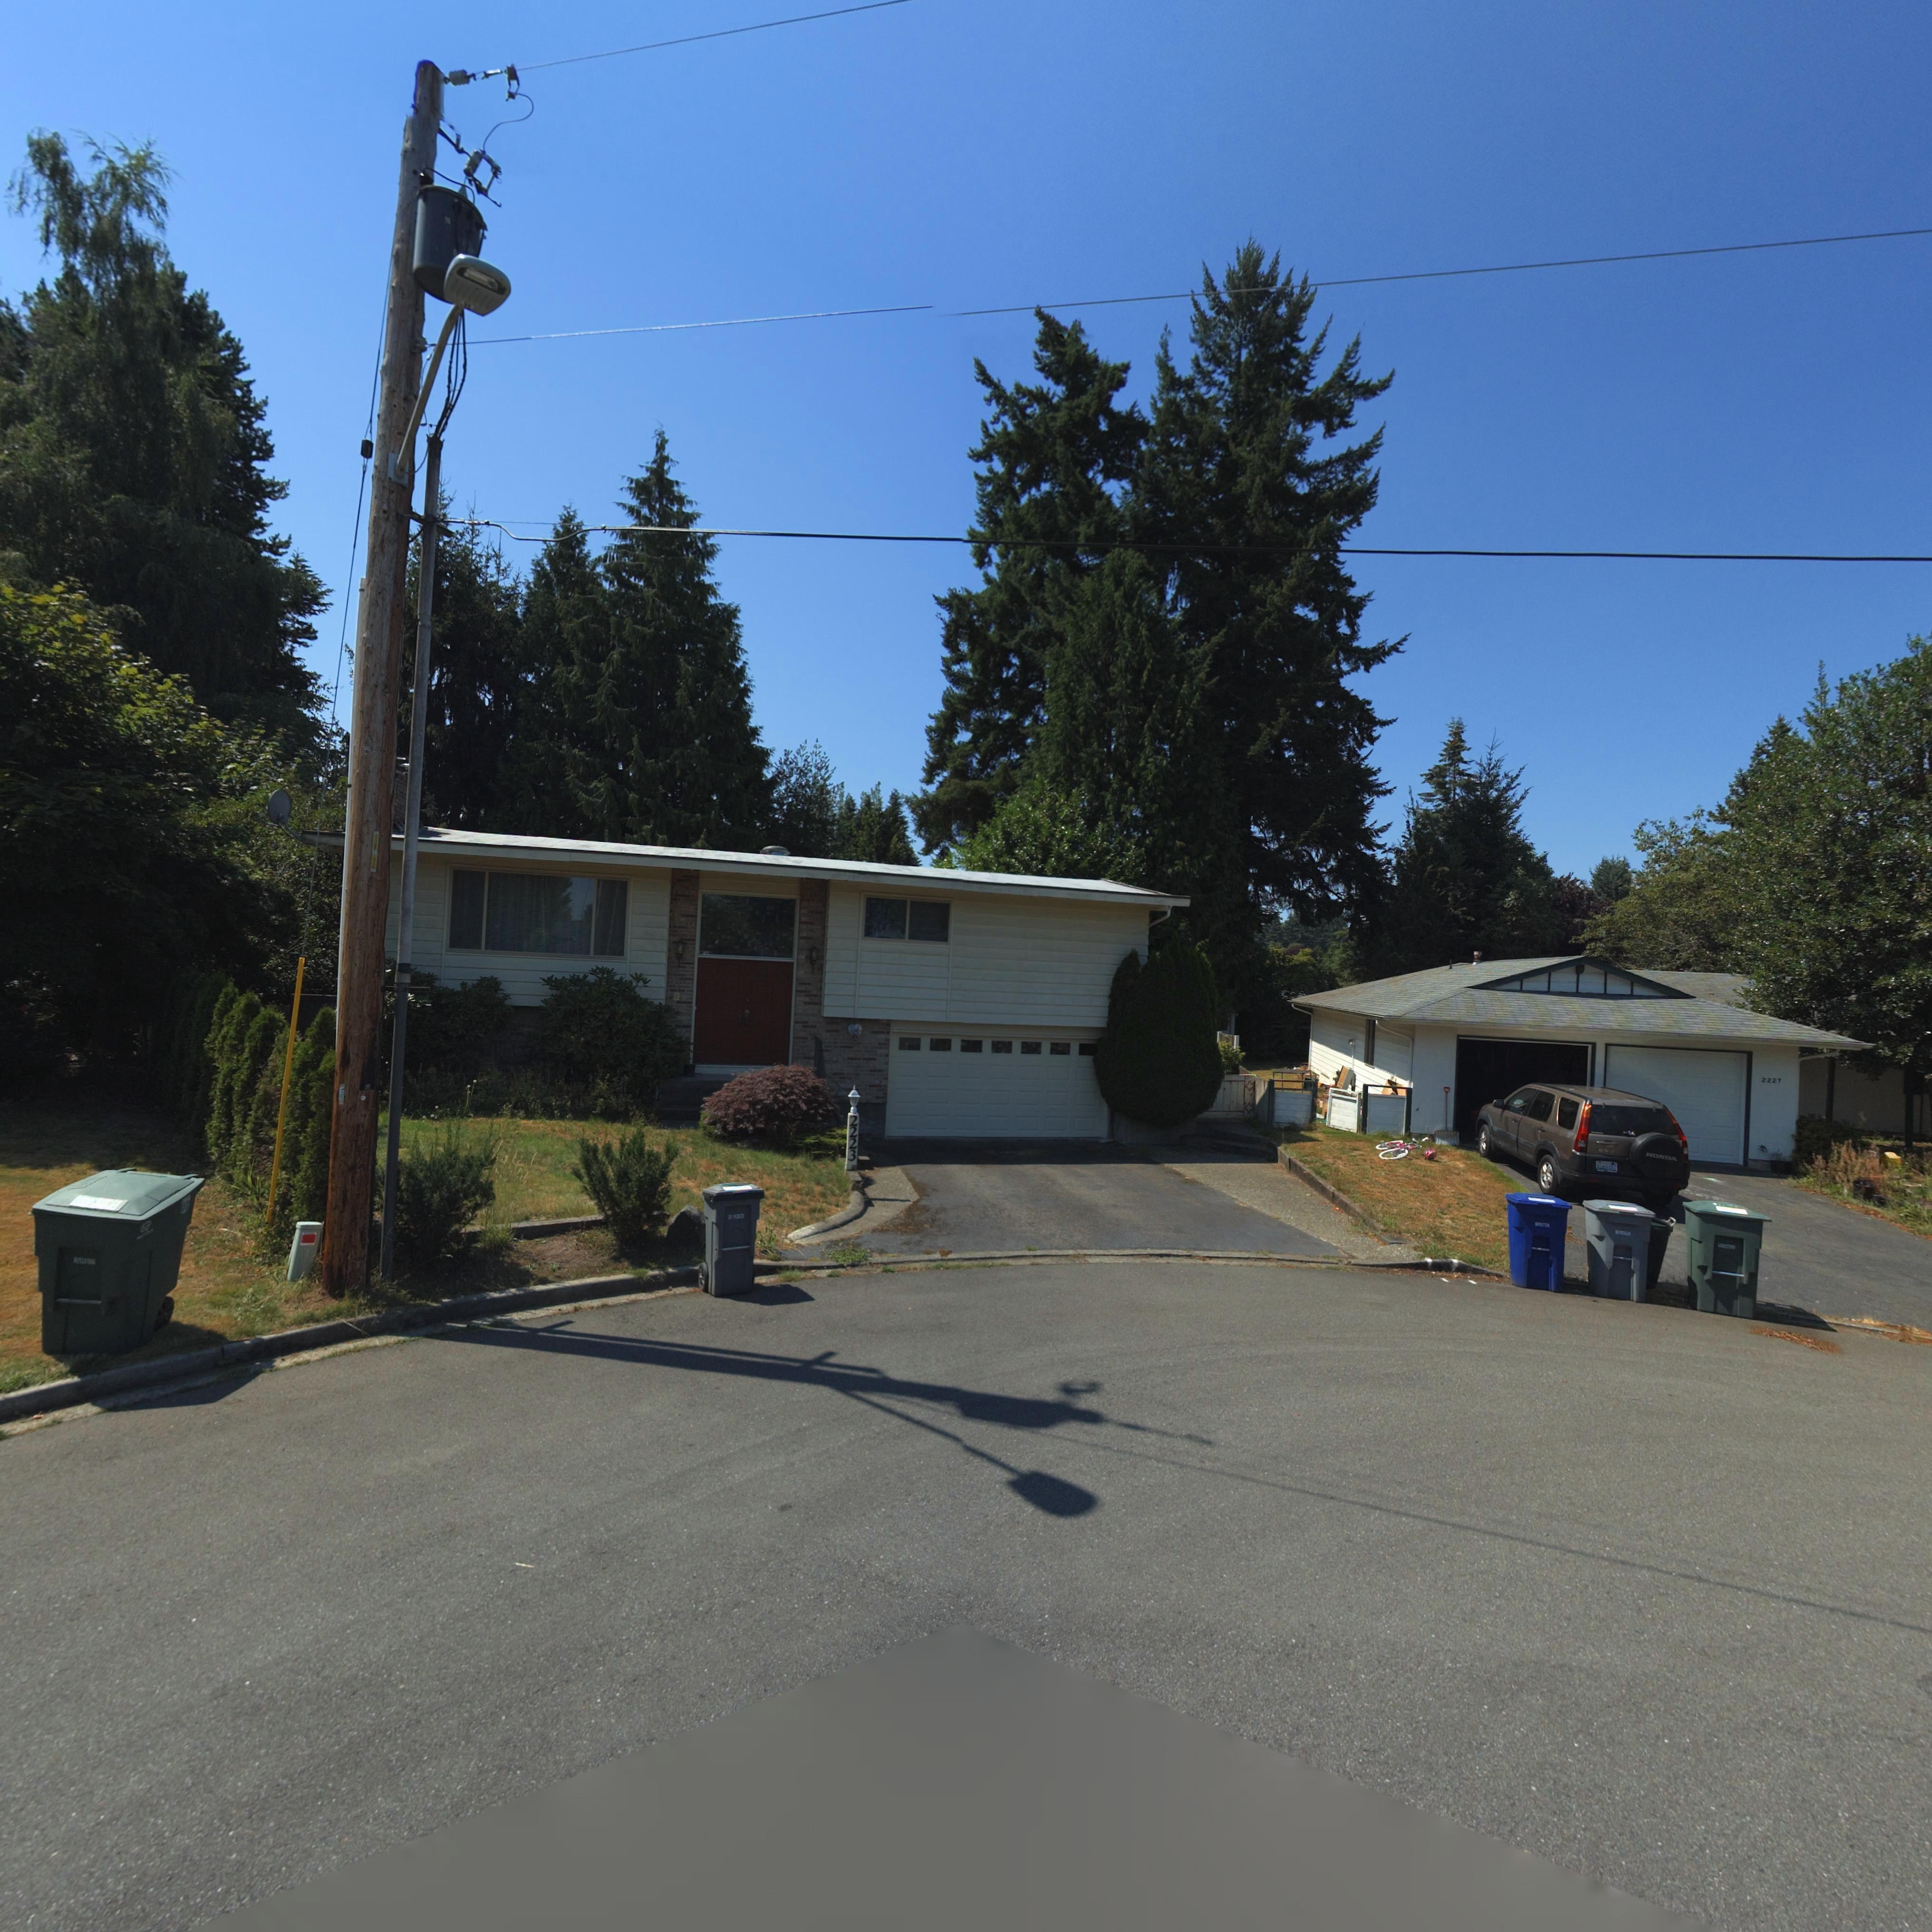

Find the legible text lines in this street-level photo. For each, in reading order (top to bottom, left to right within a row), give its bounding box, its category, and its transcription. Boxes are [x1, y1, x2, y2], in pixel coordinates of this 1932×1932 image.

[1761, 1077, 1781, 1083] StreetNumber: 2227
[848, 1114, 858, 1161] StreetNumber: 2223